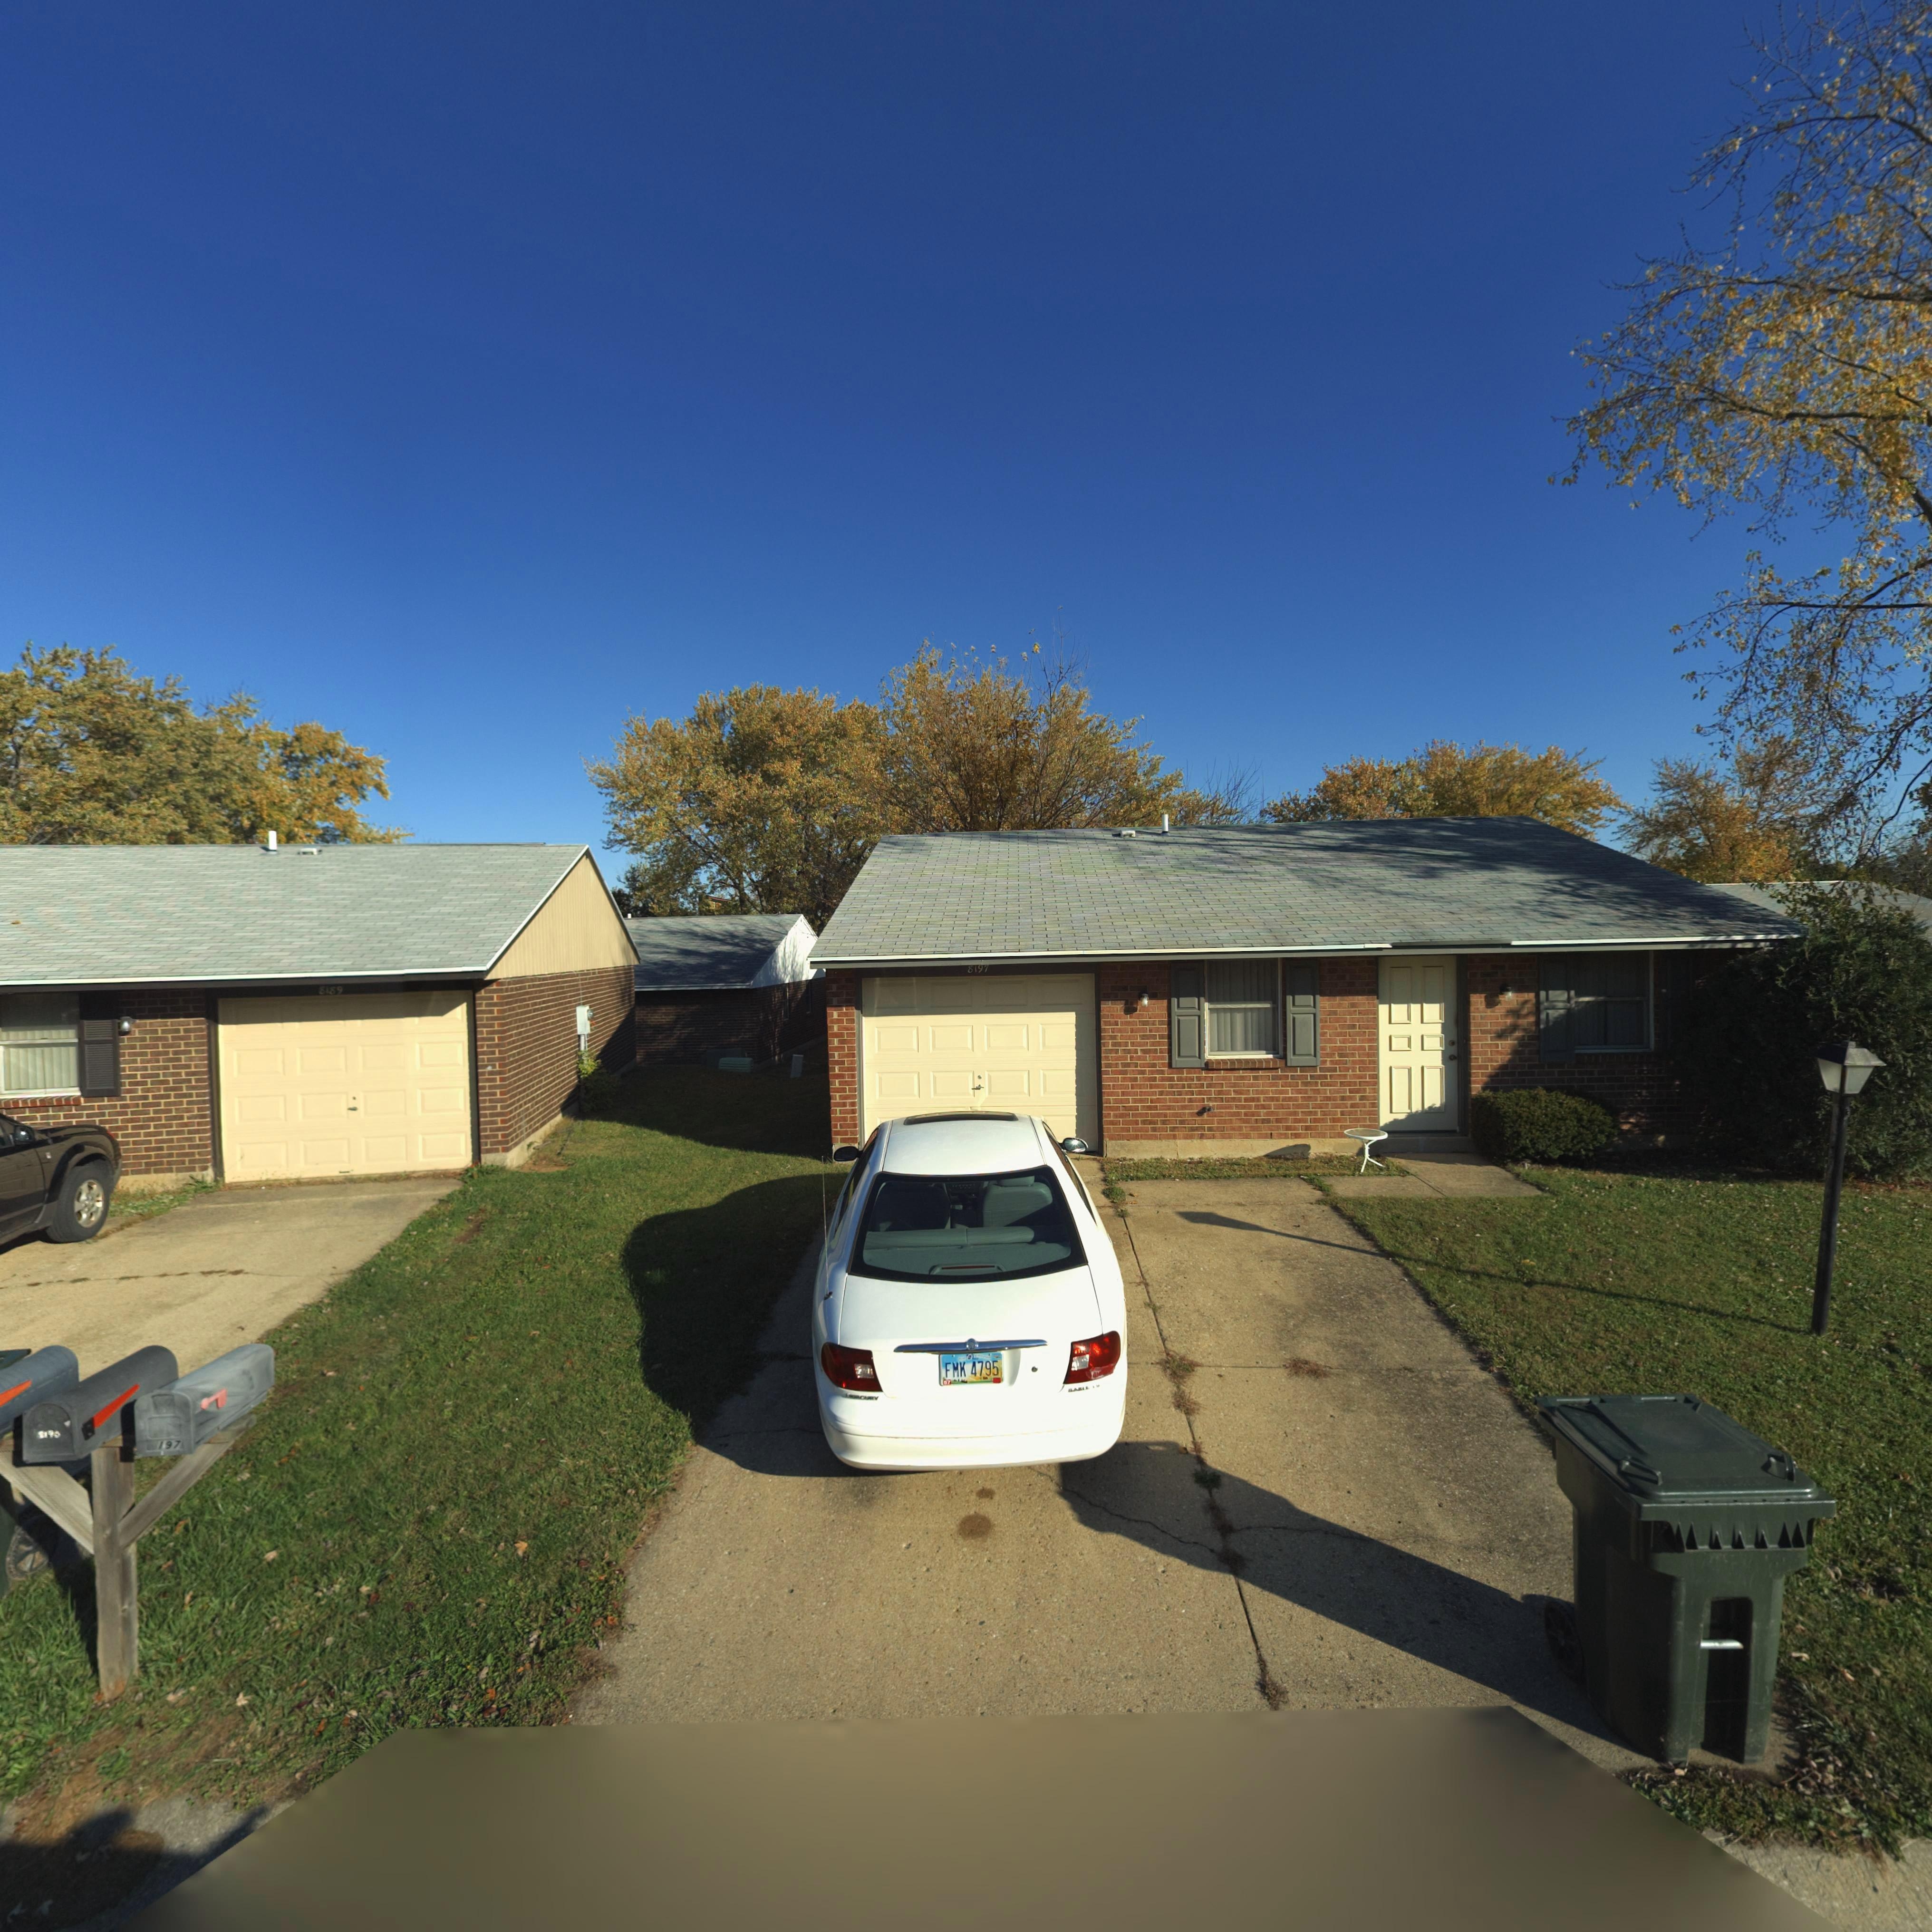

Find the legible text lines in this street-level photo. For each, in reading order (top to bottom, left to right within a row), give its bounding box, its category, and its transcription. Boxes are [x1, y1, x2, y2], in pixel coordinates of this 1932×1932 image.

[967, 964, 990, 974] StreetNumber: 8197
[319, 985, 344, 995] StreetNumber: 8189
[37, 1429, 61, 1439] StreetNumber: 819*
[157, 1440, 183, 1450] StreetNumber: 197